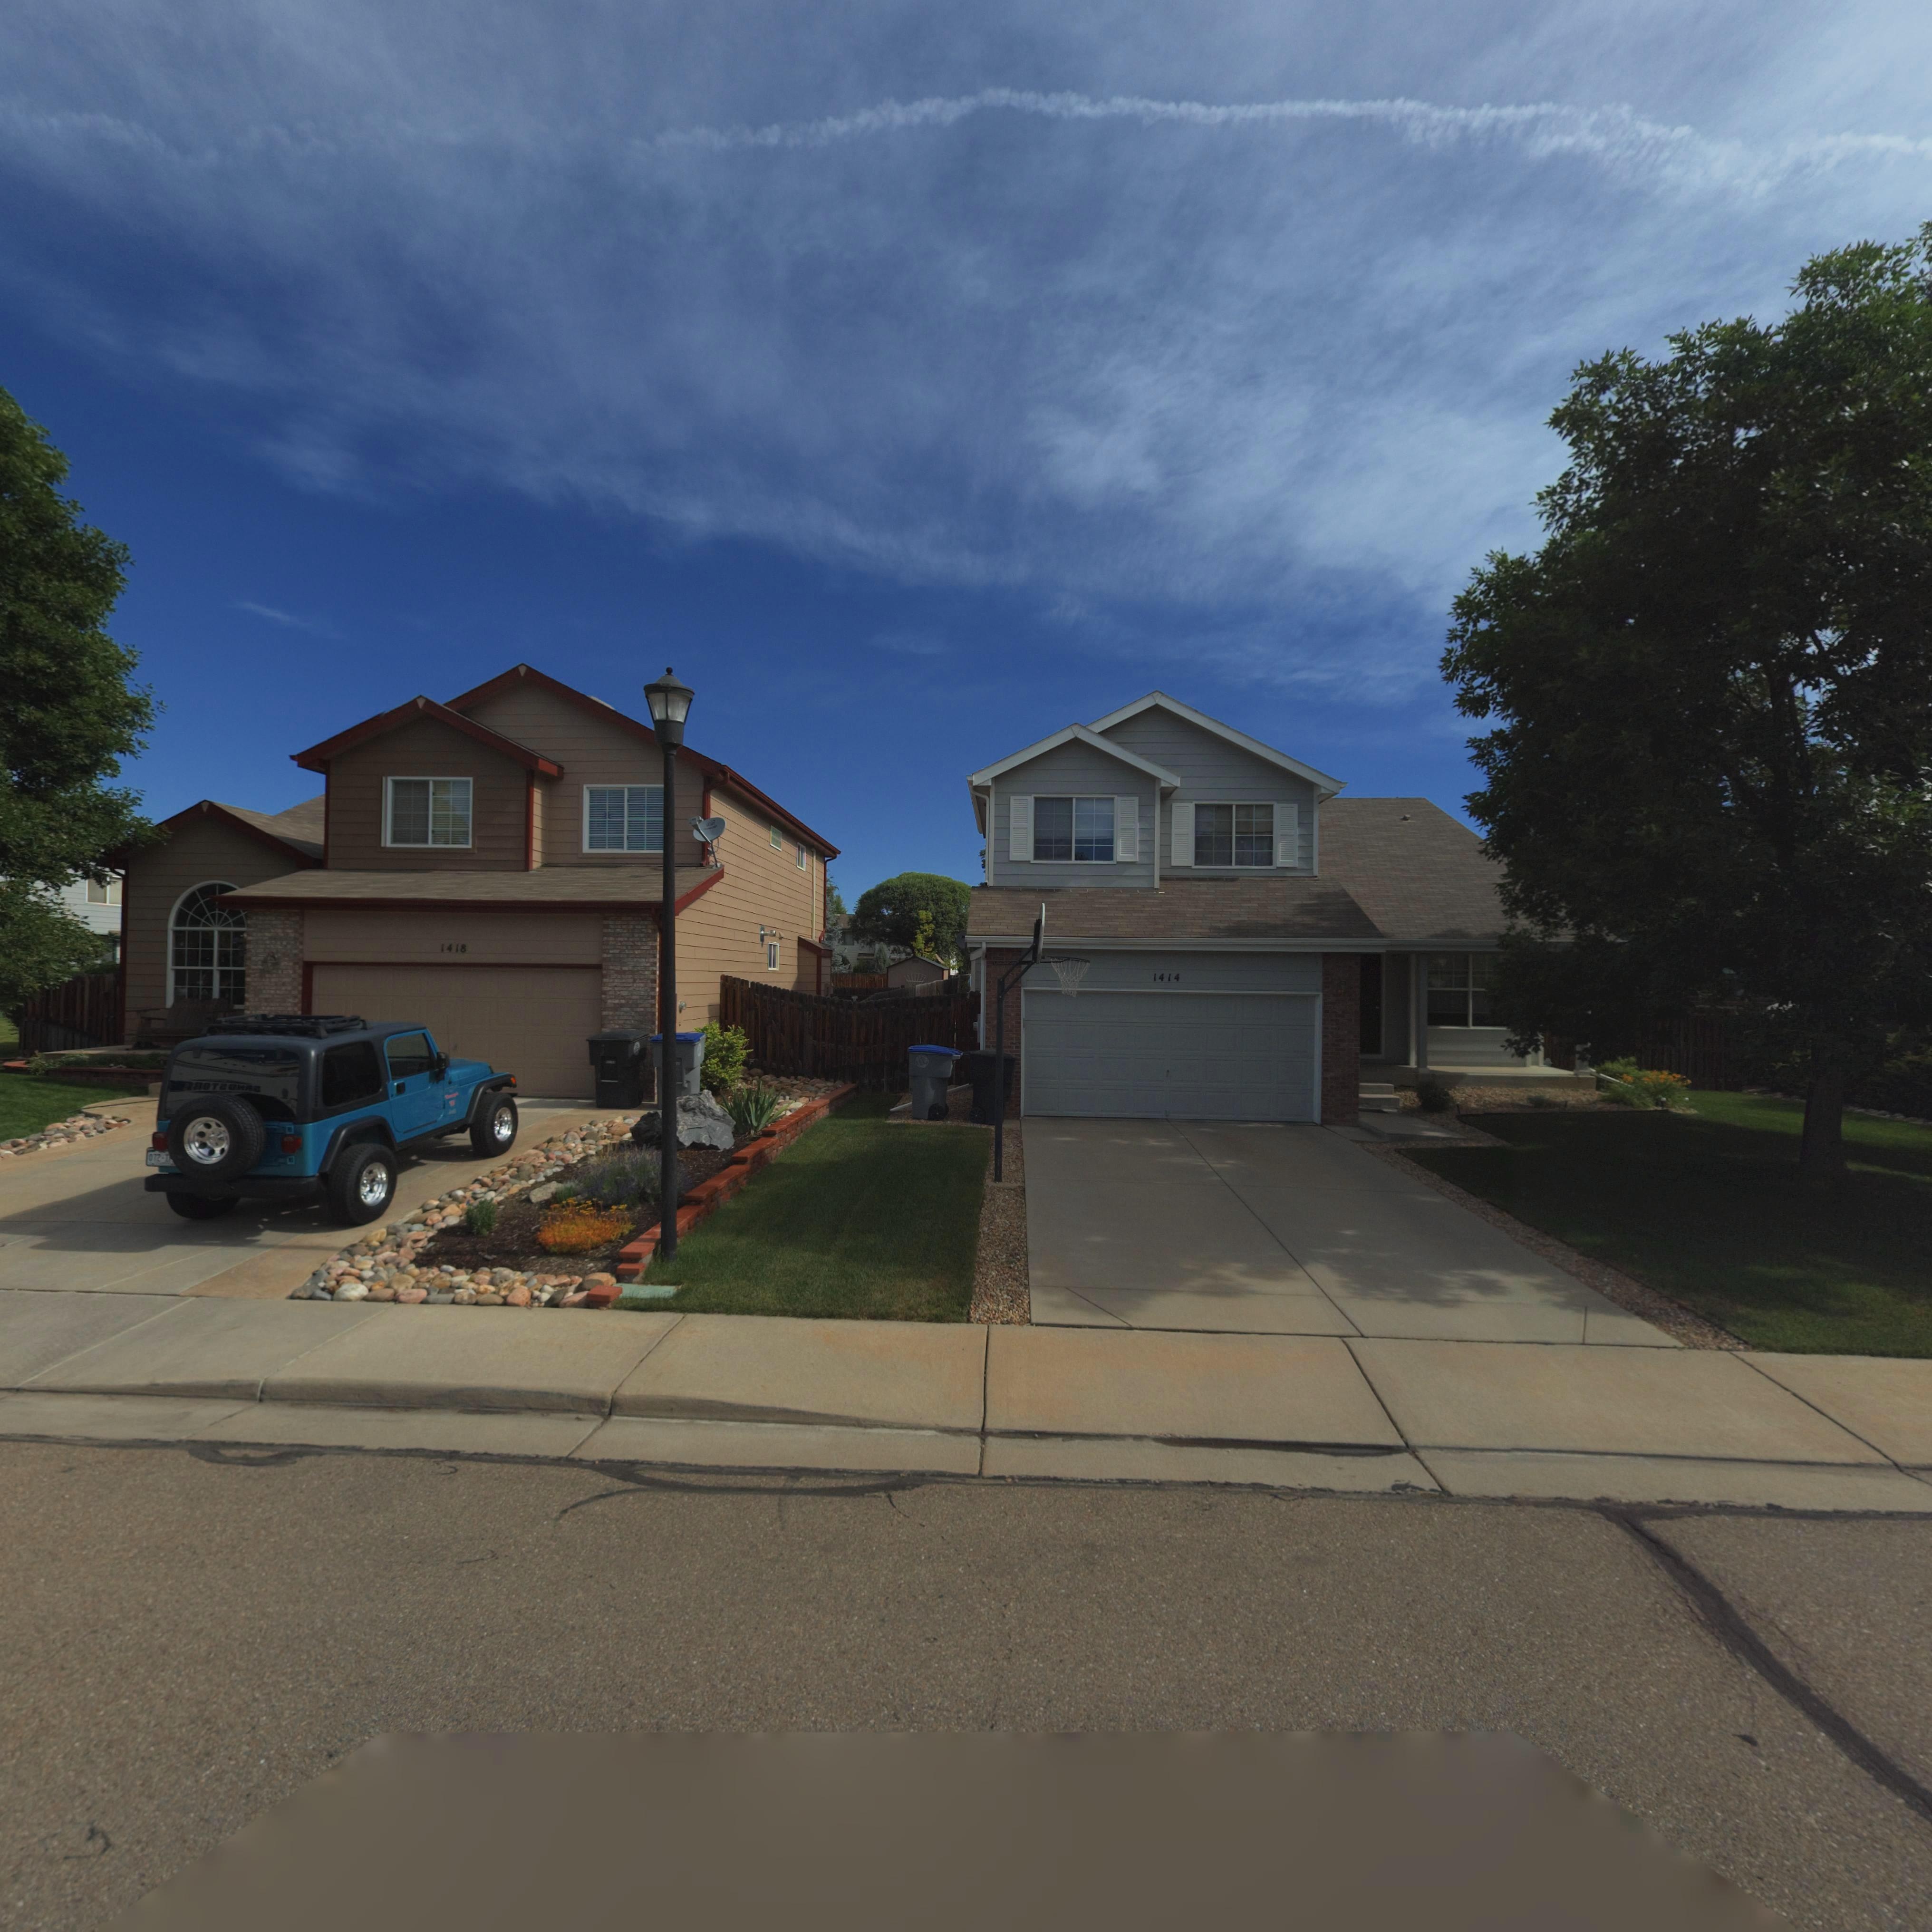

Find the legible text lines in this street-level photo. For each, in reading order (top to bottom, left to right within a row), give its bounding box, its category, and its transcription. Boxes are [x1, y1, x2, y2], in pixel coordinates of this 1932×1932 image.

[440, 943, 466, 953] StreetNumber: 1418
[1153, 972, 1179, 982] StreetNumber: 1414